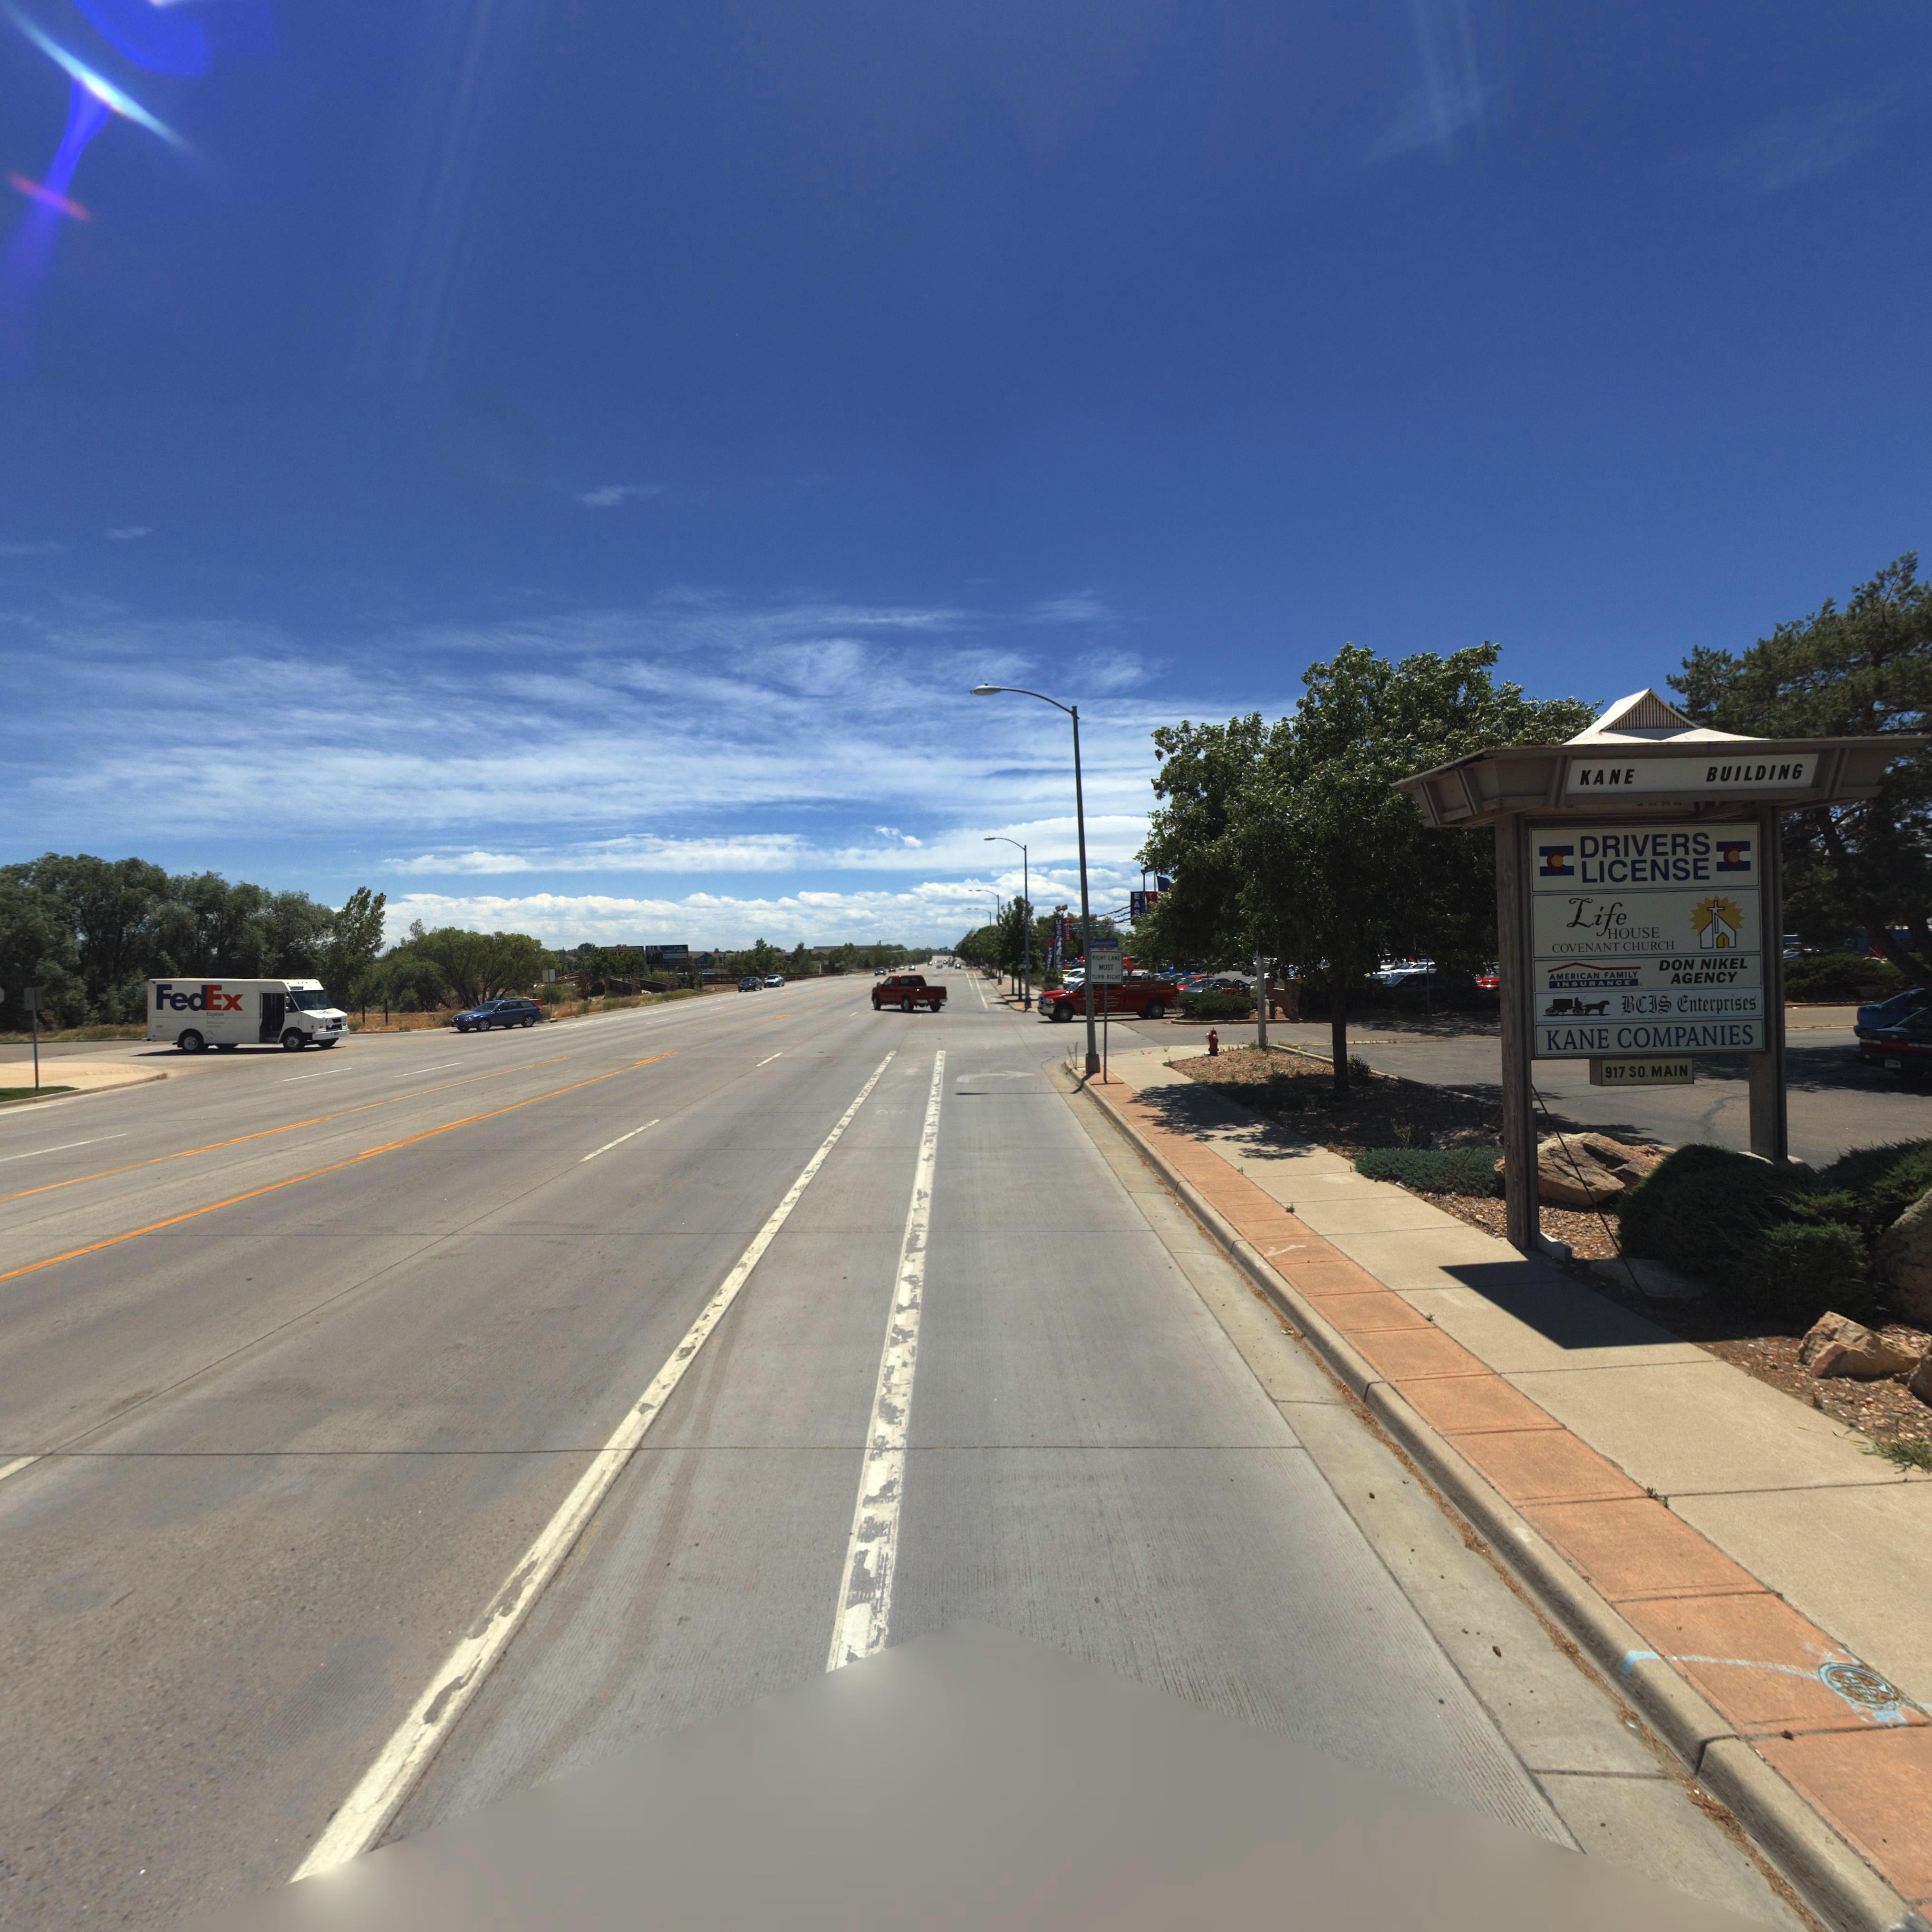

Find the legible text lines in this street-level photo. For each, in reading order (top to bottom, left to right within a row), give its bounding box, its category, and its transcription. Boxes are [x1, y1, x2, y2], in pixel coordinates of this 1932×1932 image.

[1565, 895, 1629, 938] BusinessName: Life
[1607, 925, 1660, 939] BusinessName: HOUSE
[1552, 939, 1675, 955] BusinessName: COVENANT CHURCH
[1659, 957, 1749, 971] BusinessName: DON NIKEL
[1555, 979, 1632, 987] BusinessName: INSURANCE
[1548, 970, 1639, 981] BusinessName: AMERICAN FAMILY
[1670, 970, 1740, 985] BusinessName: AGENCY
[1620, 992, 1758, 1016] BusinessName: BCIS Enterprises
[1546, 1024, 1754, 1050] BusinessName: KANE COMPANIES
[1604, 1063, 1626, 1079] StreetNumber: 917
[1628, 1063, 1689, 1078] StreetName: SO. MAIN